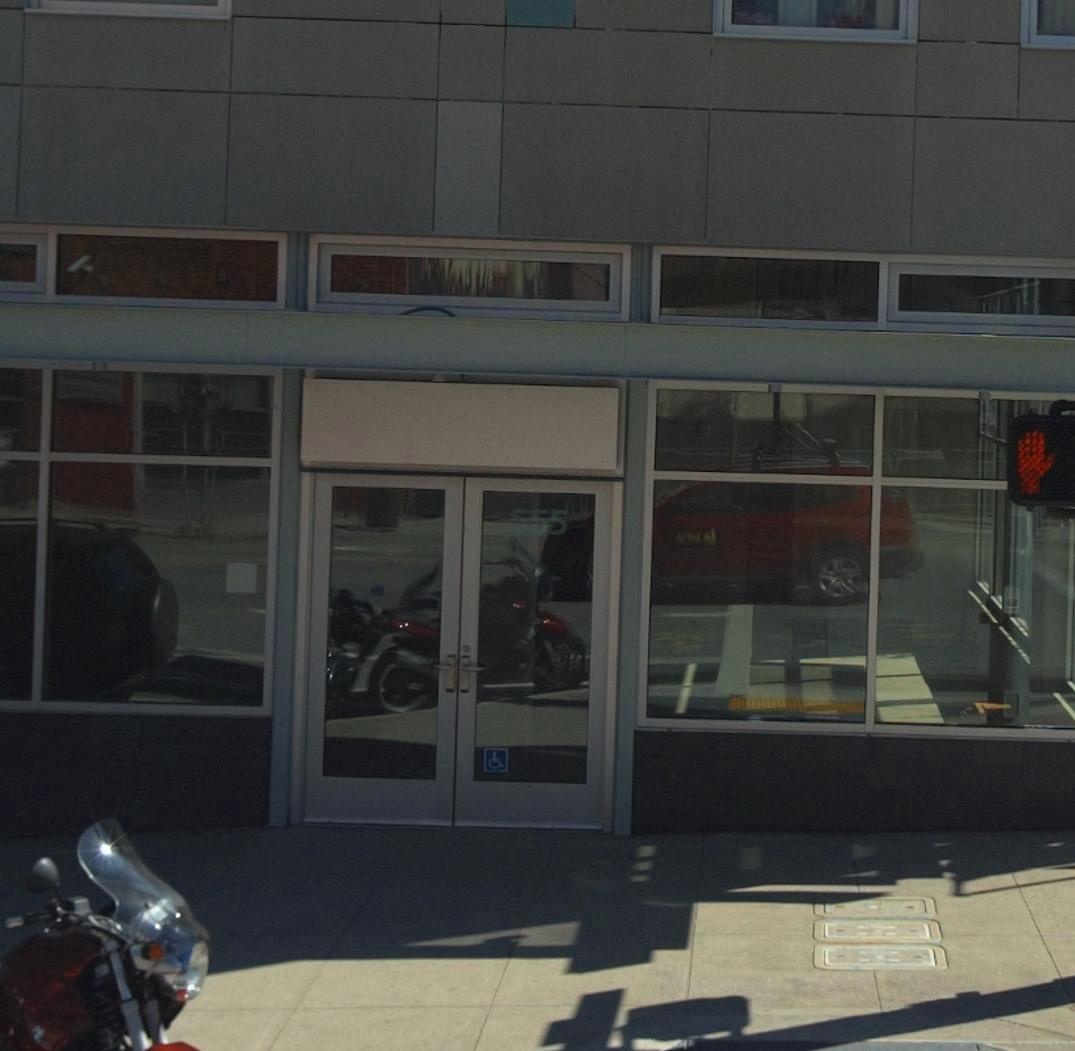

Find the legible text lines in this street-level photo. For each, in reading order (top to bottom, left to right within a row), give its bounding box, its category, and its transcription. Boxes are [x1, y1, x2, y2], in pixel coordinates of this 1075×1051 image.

[505, 506, 572, 539] StreetNumber: 555